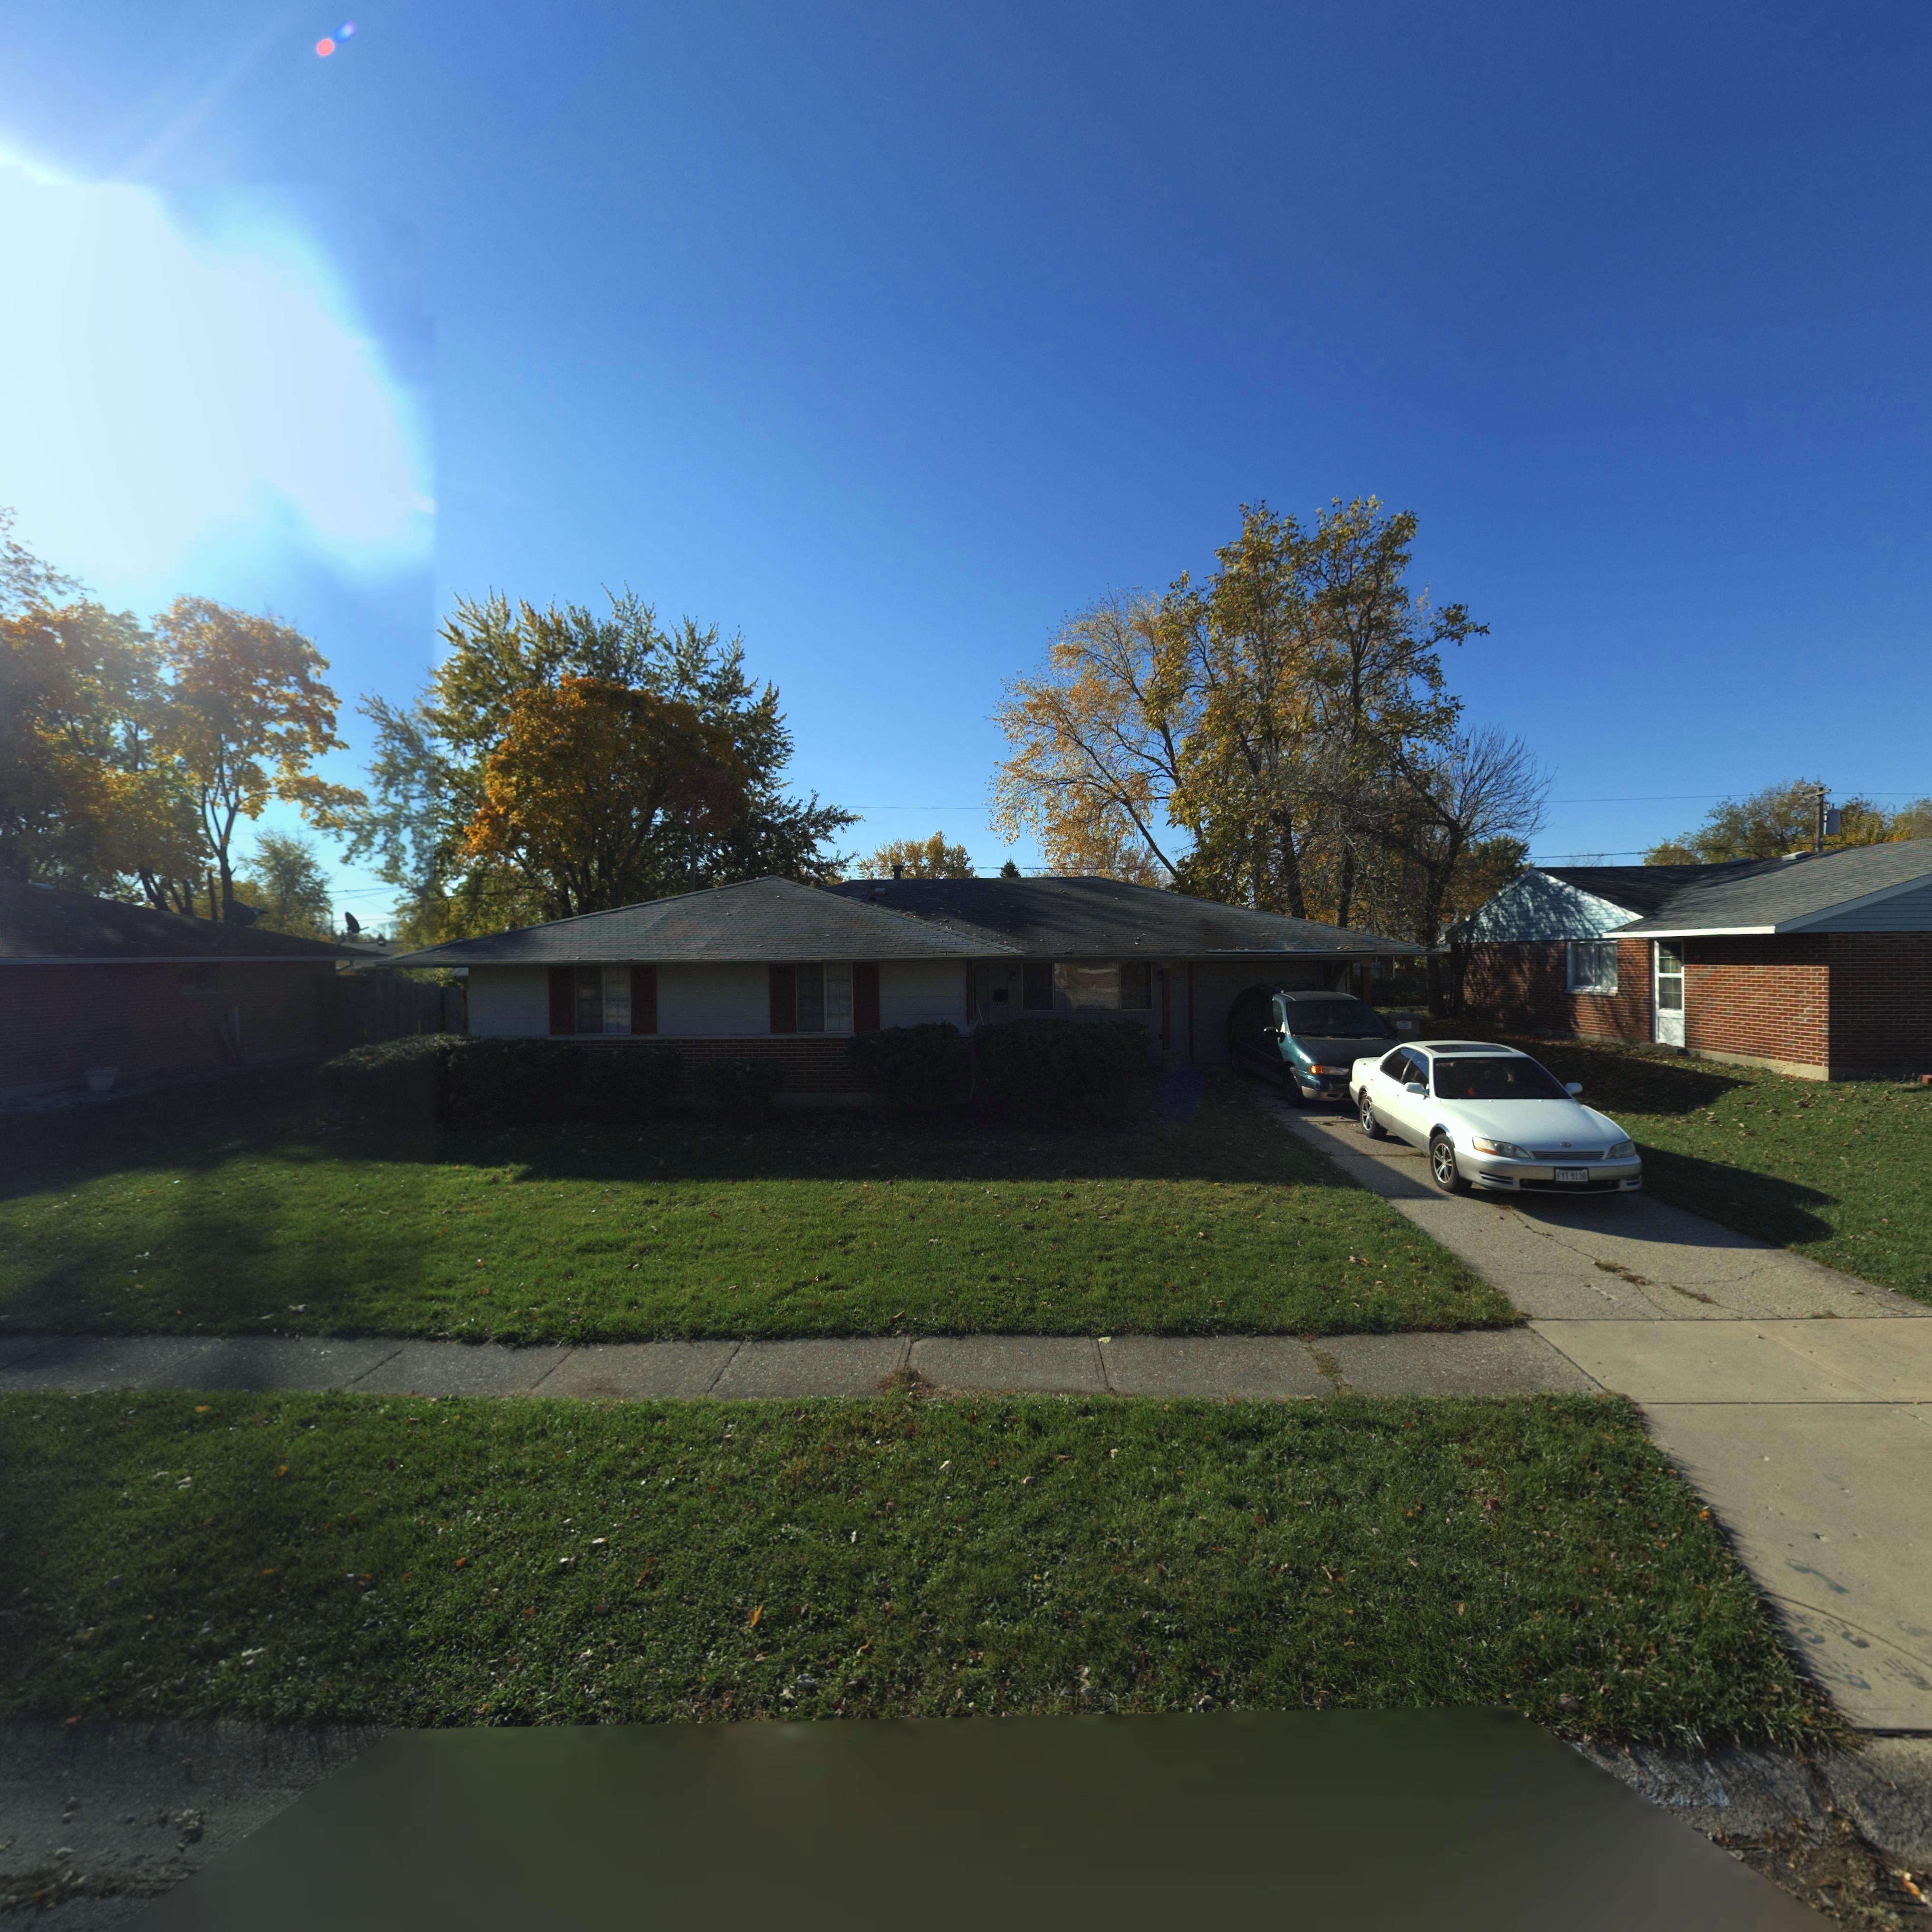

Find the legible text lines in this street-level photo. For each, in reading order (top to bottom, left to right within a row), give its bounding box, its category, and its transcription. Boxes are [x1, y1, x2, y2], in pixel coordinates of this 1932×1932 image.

[1170, 975, 1182, 984] StreetNumber: 972